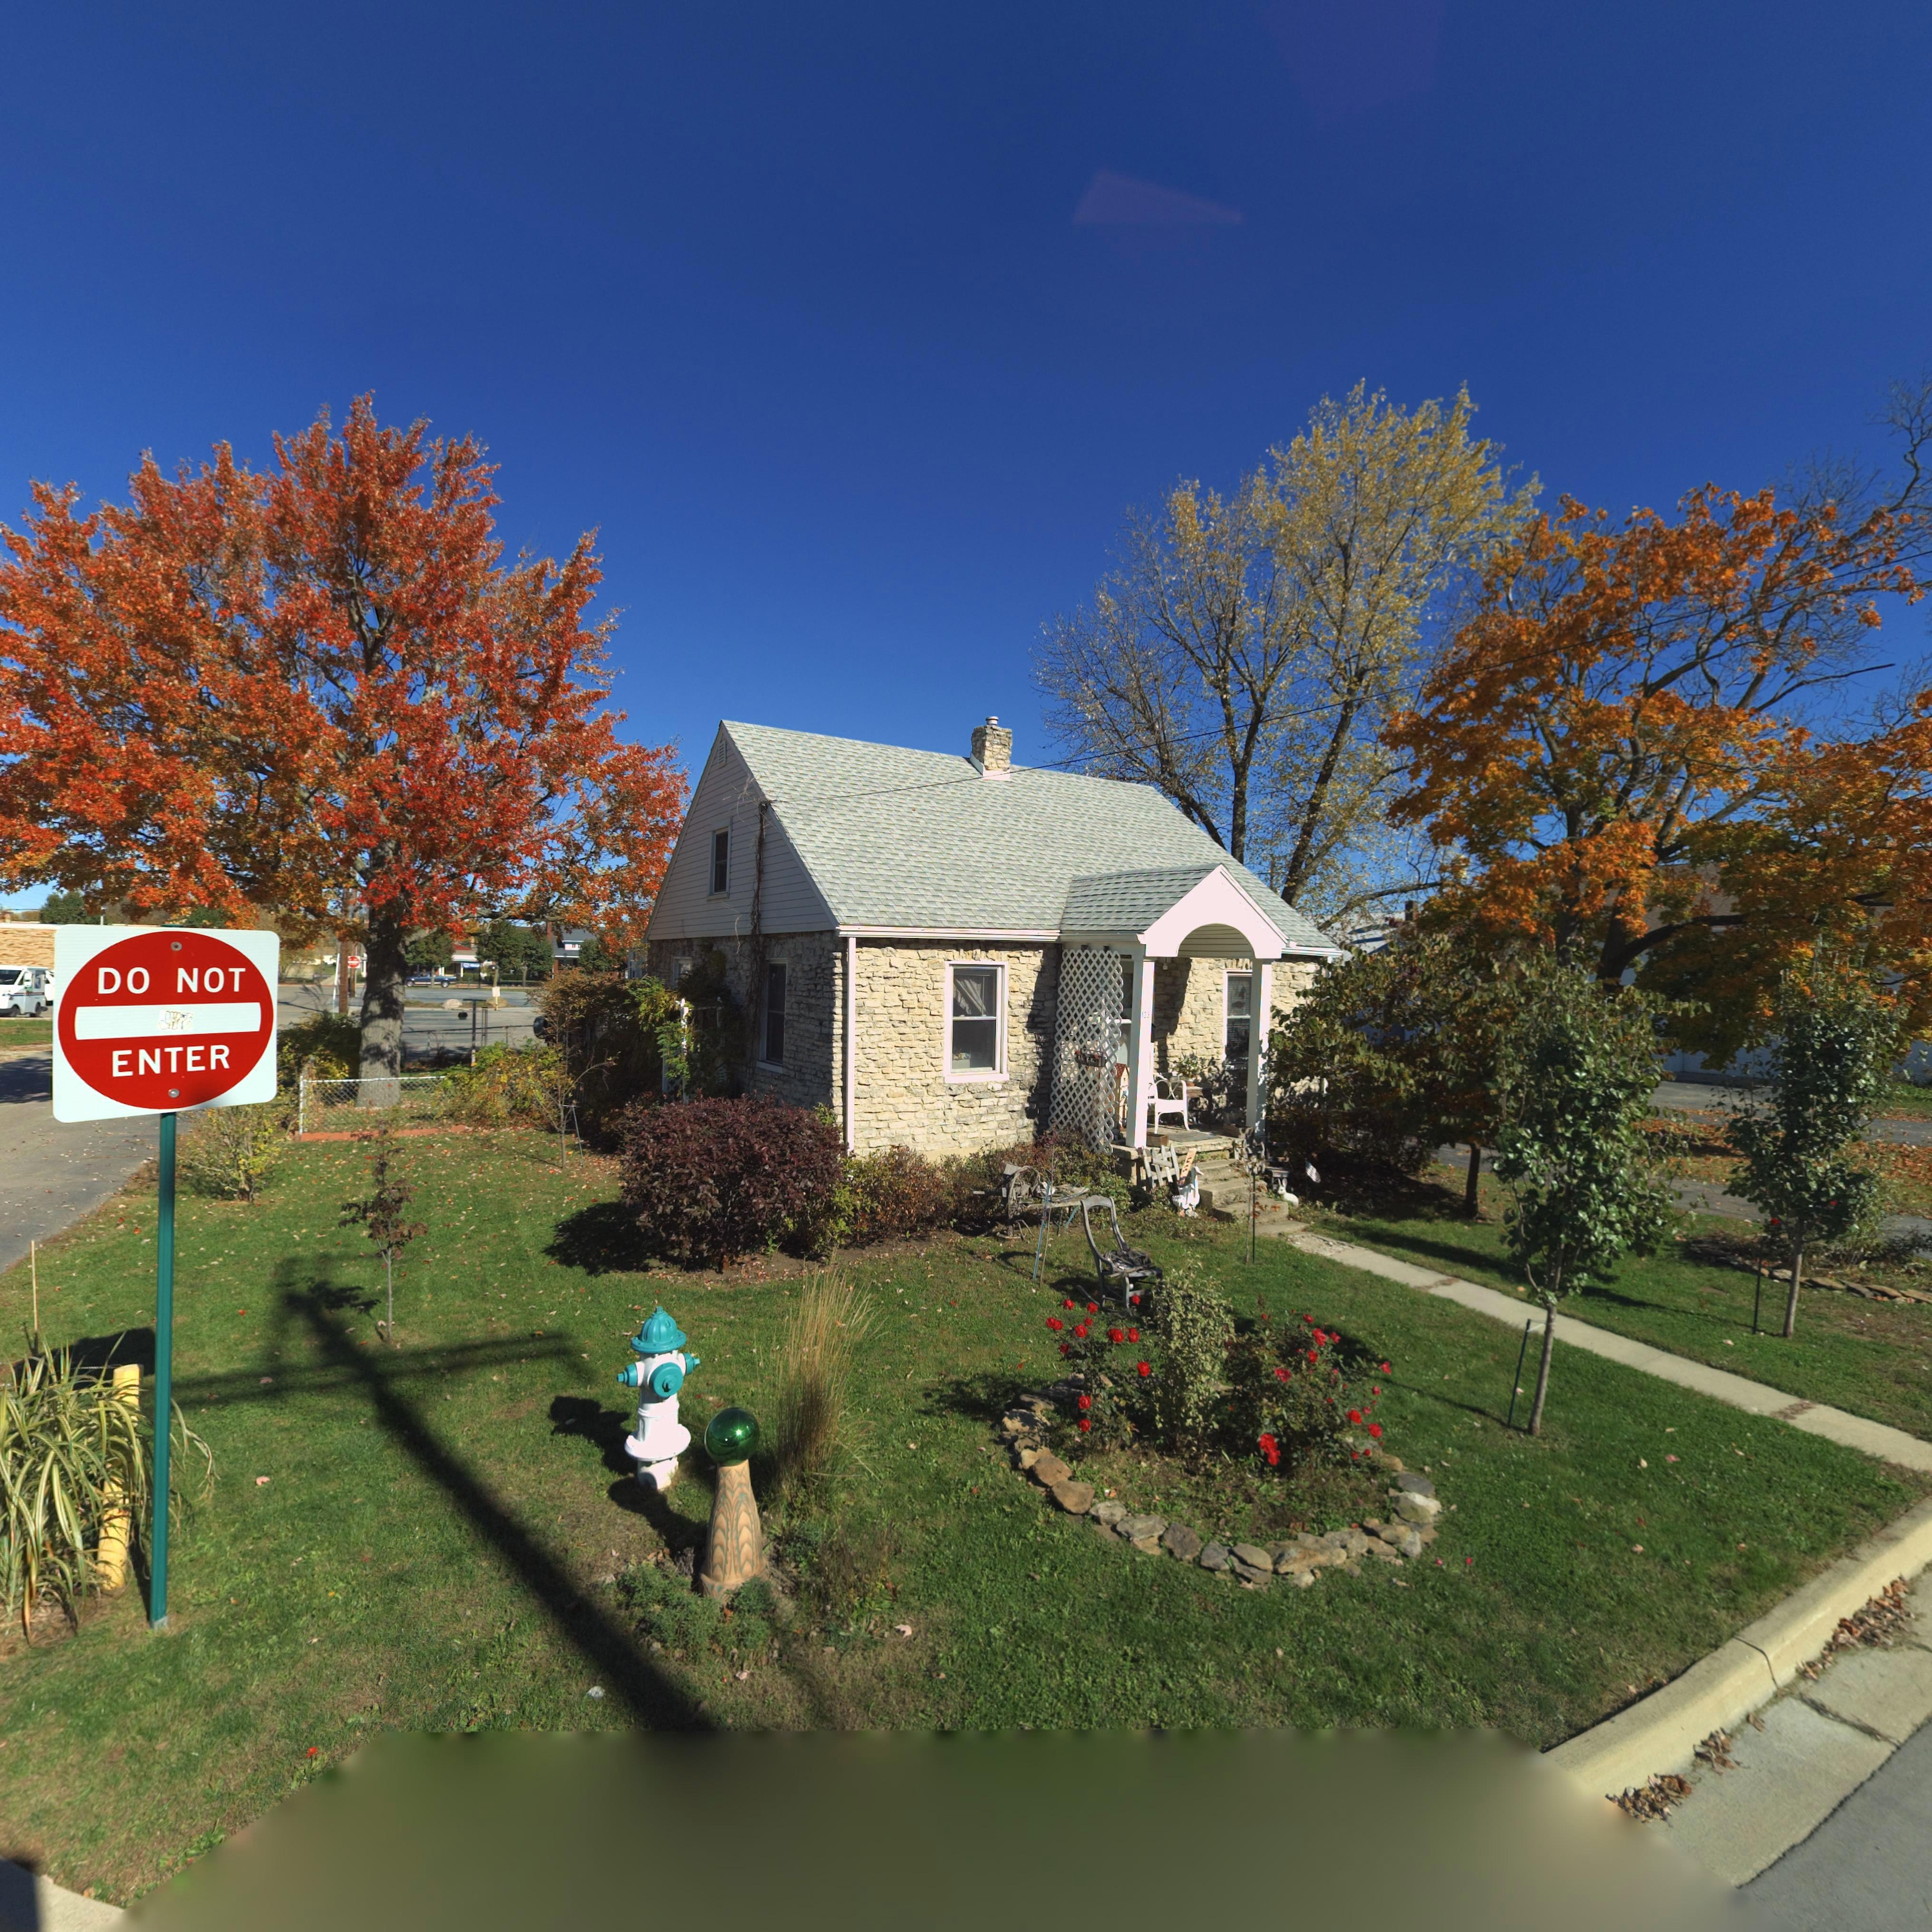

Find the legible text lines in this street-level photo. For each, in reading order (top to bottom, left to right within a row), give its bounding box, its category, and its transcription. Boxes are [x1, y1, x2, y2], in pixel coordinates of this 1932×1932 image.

[1141, 1011, 1150, 1019] StreetNumber: 1*3